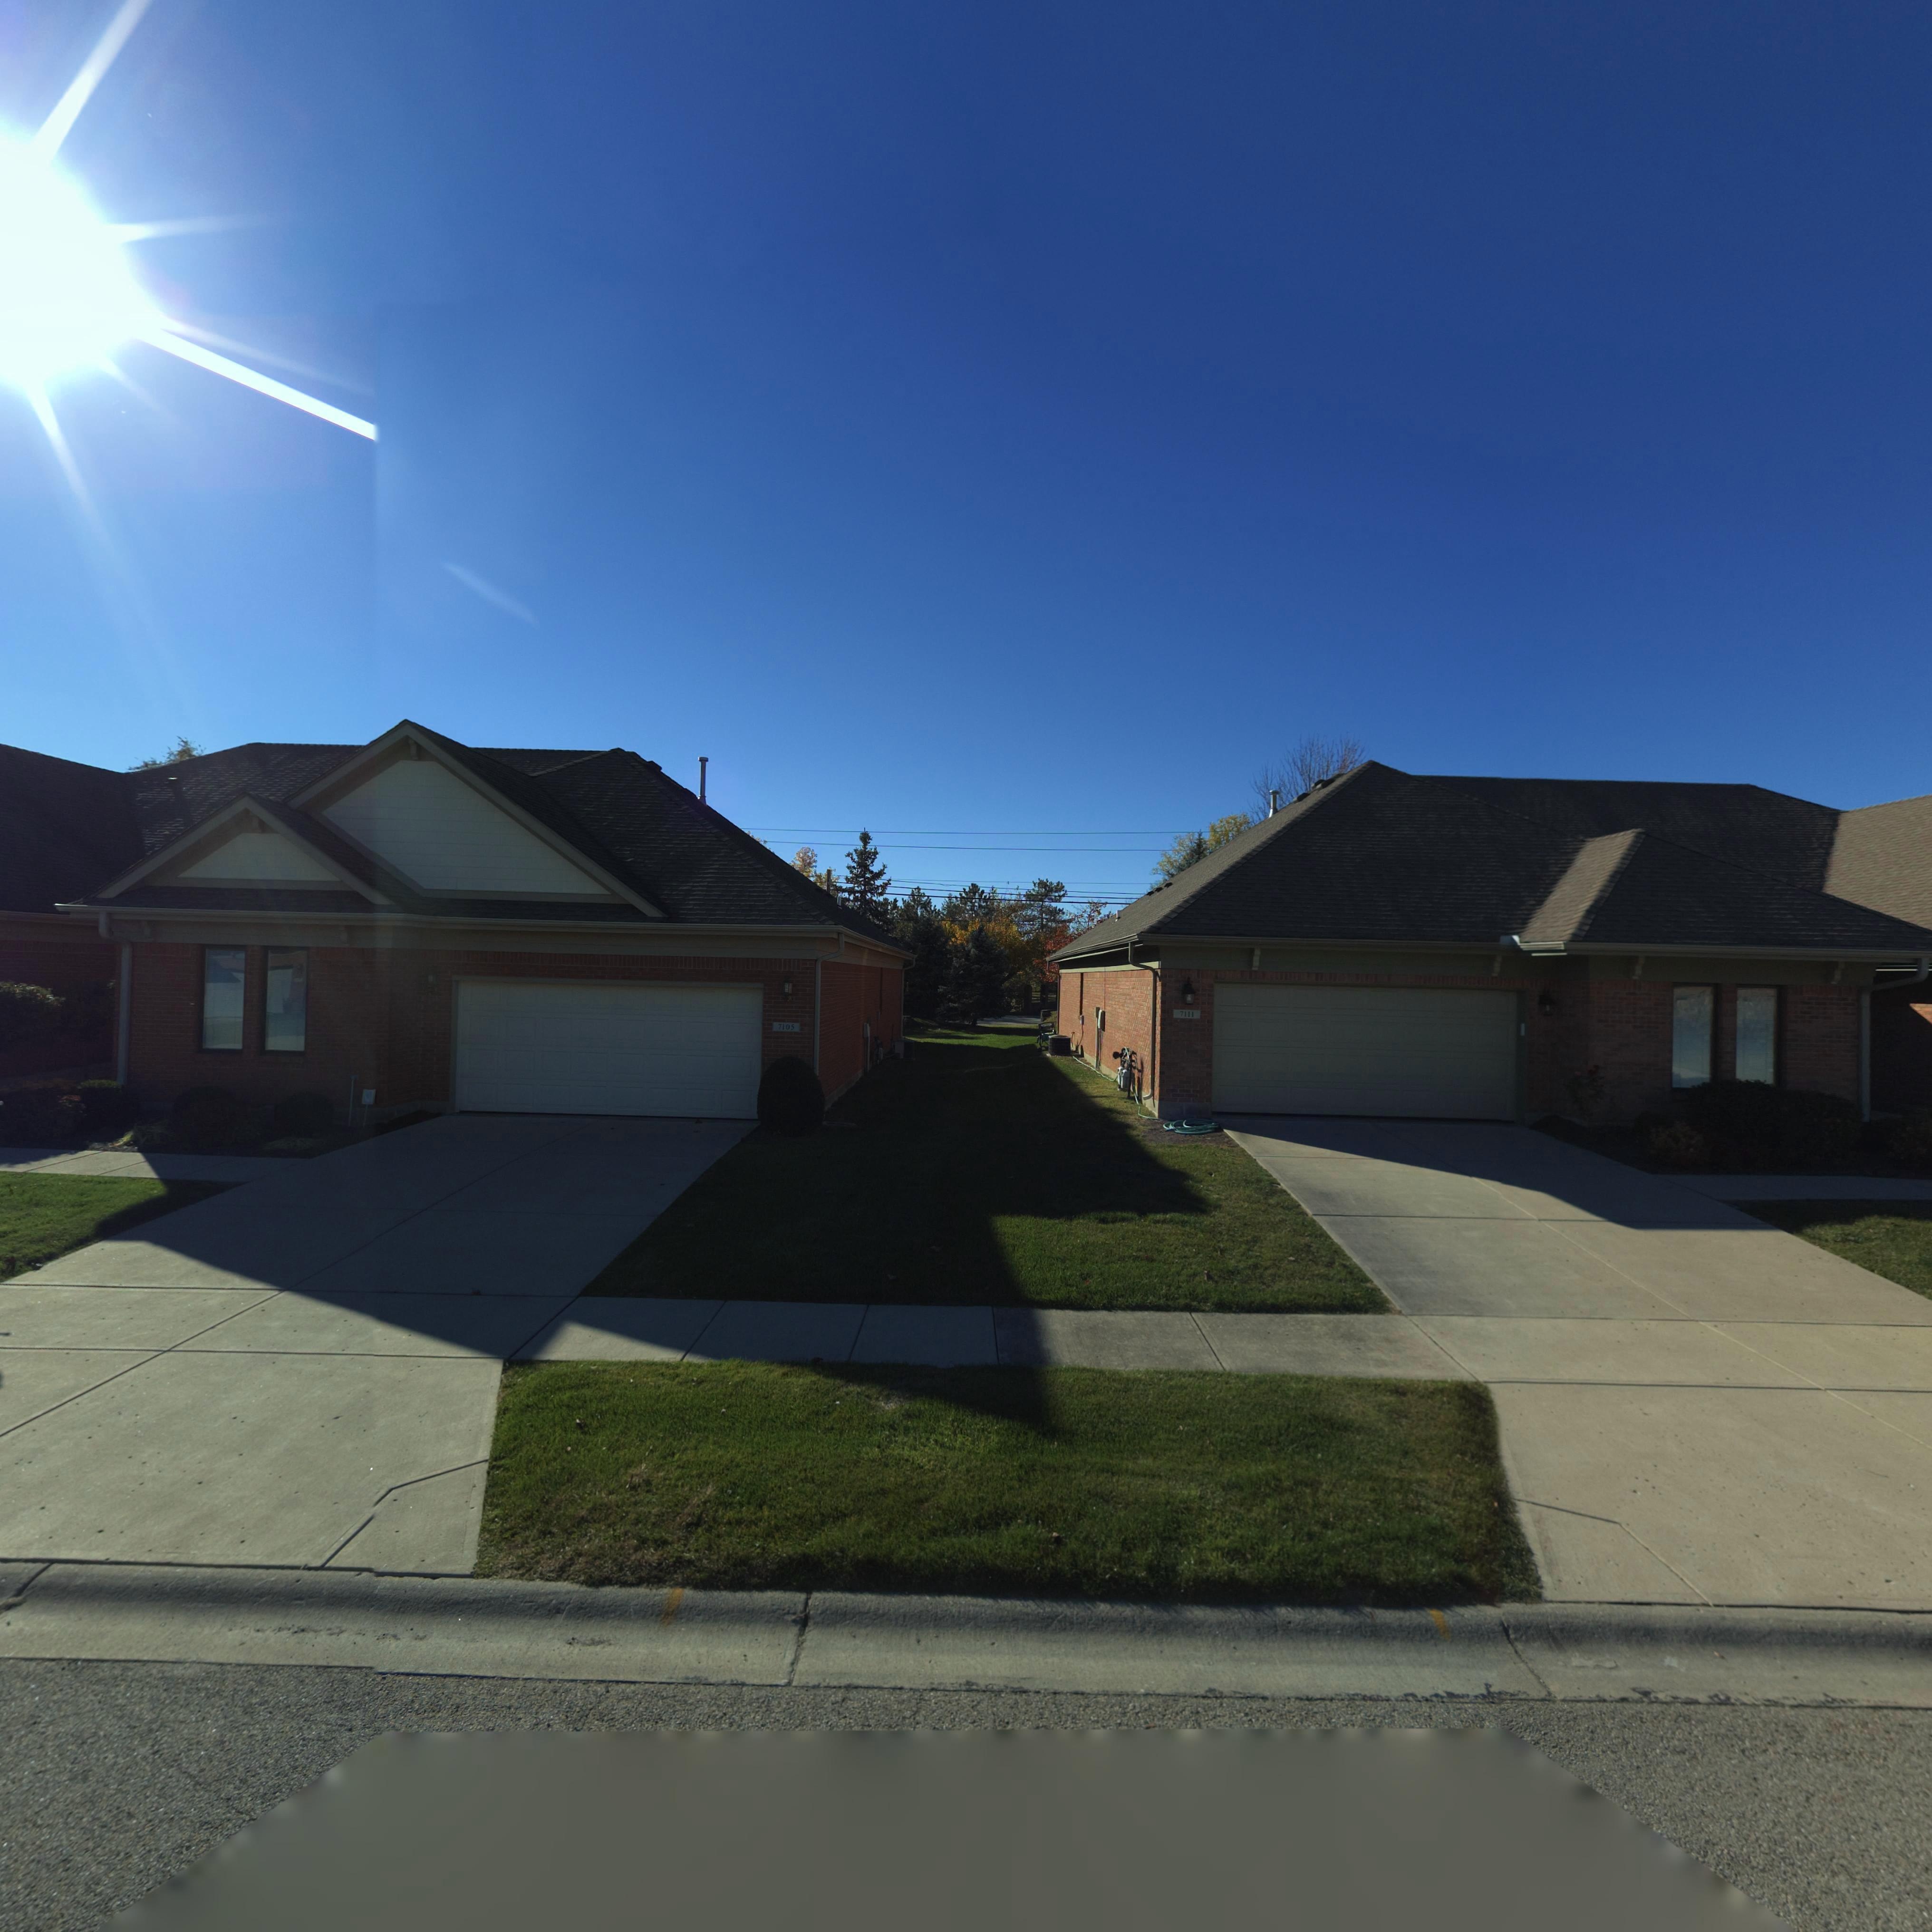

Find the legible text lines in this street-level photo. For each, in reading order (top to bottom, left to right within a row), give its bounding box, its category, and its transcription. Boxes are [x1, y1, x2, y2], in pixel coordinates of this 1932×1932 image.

[1179, 1010, 1194, 1018] StreetNumber: 7111
[778, 1023, 795, 1030] StreetNumber: 7105